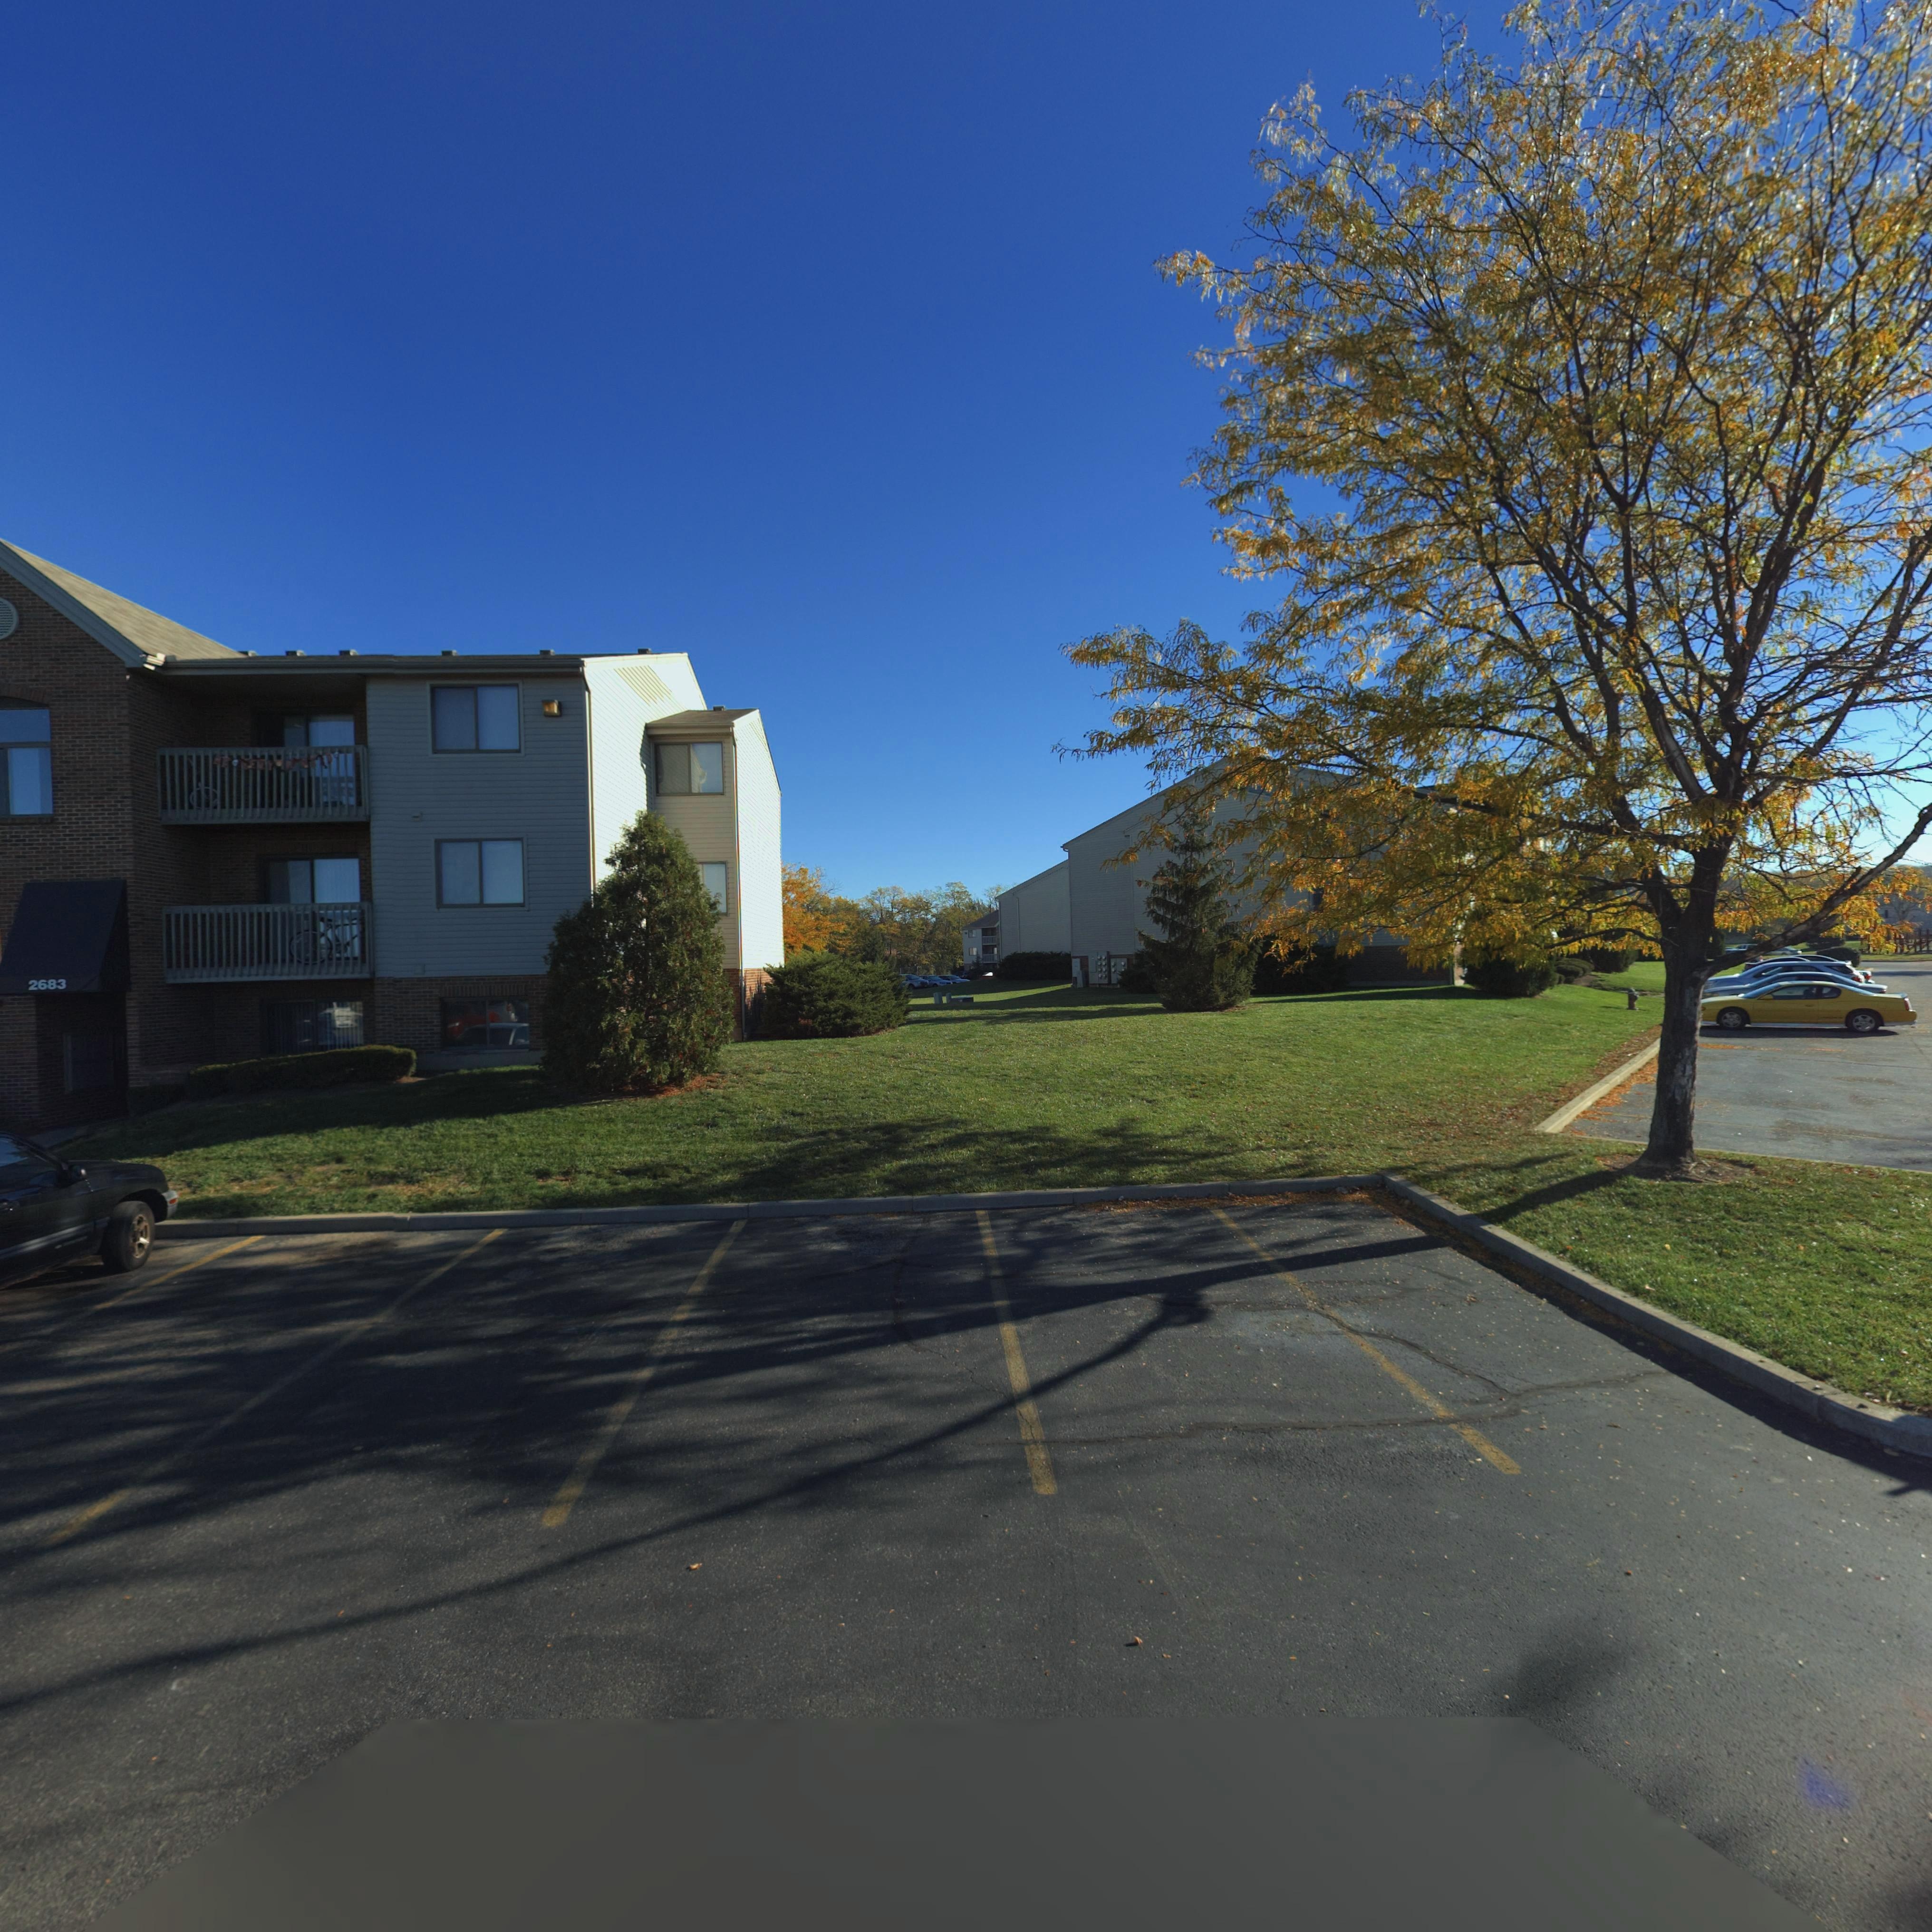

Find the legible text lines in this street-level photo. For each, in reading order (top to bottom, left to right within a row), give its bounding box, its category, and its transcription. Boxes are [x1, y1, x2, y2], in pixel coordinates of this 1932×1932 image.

[27, 978, 68, 992] StreetNumber: 2683